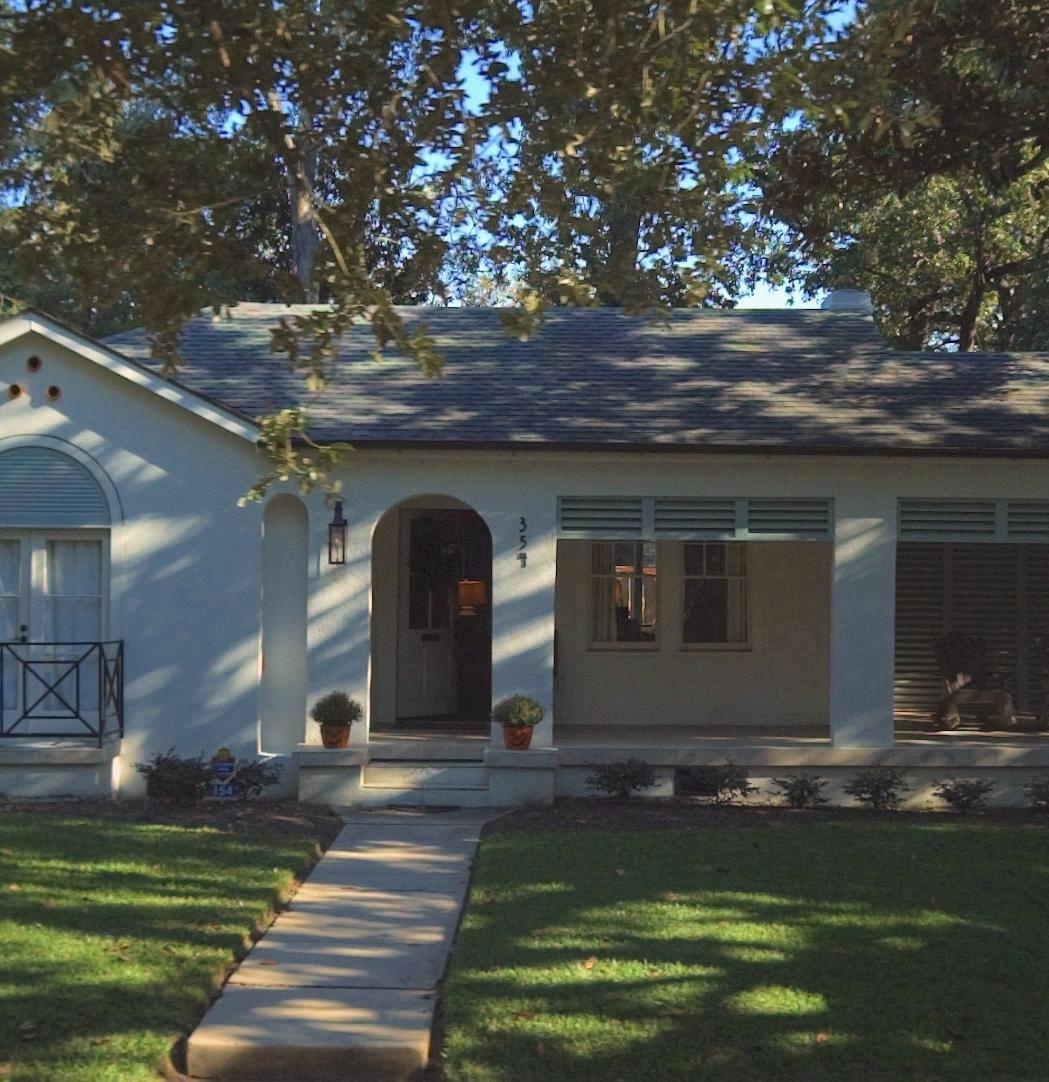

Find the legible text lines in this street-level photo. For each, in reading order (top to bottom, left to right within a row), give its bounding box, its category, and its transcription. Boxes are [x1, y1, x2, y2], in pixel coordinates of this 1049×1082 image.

[516, 514, 529, 569] StreetNumber: 354